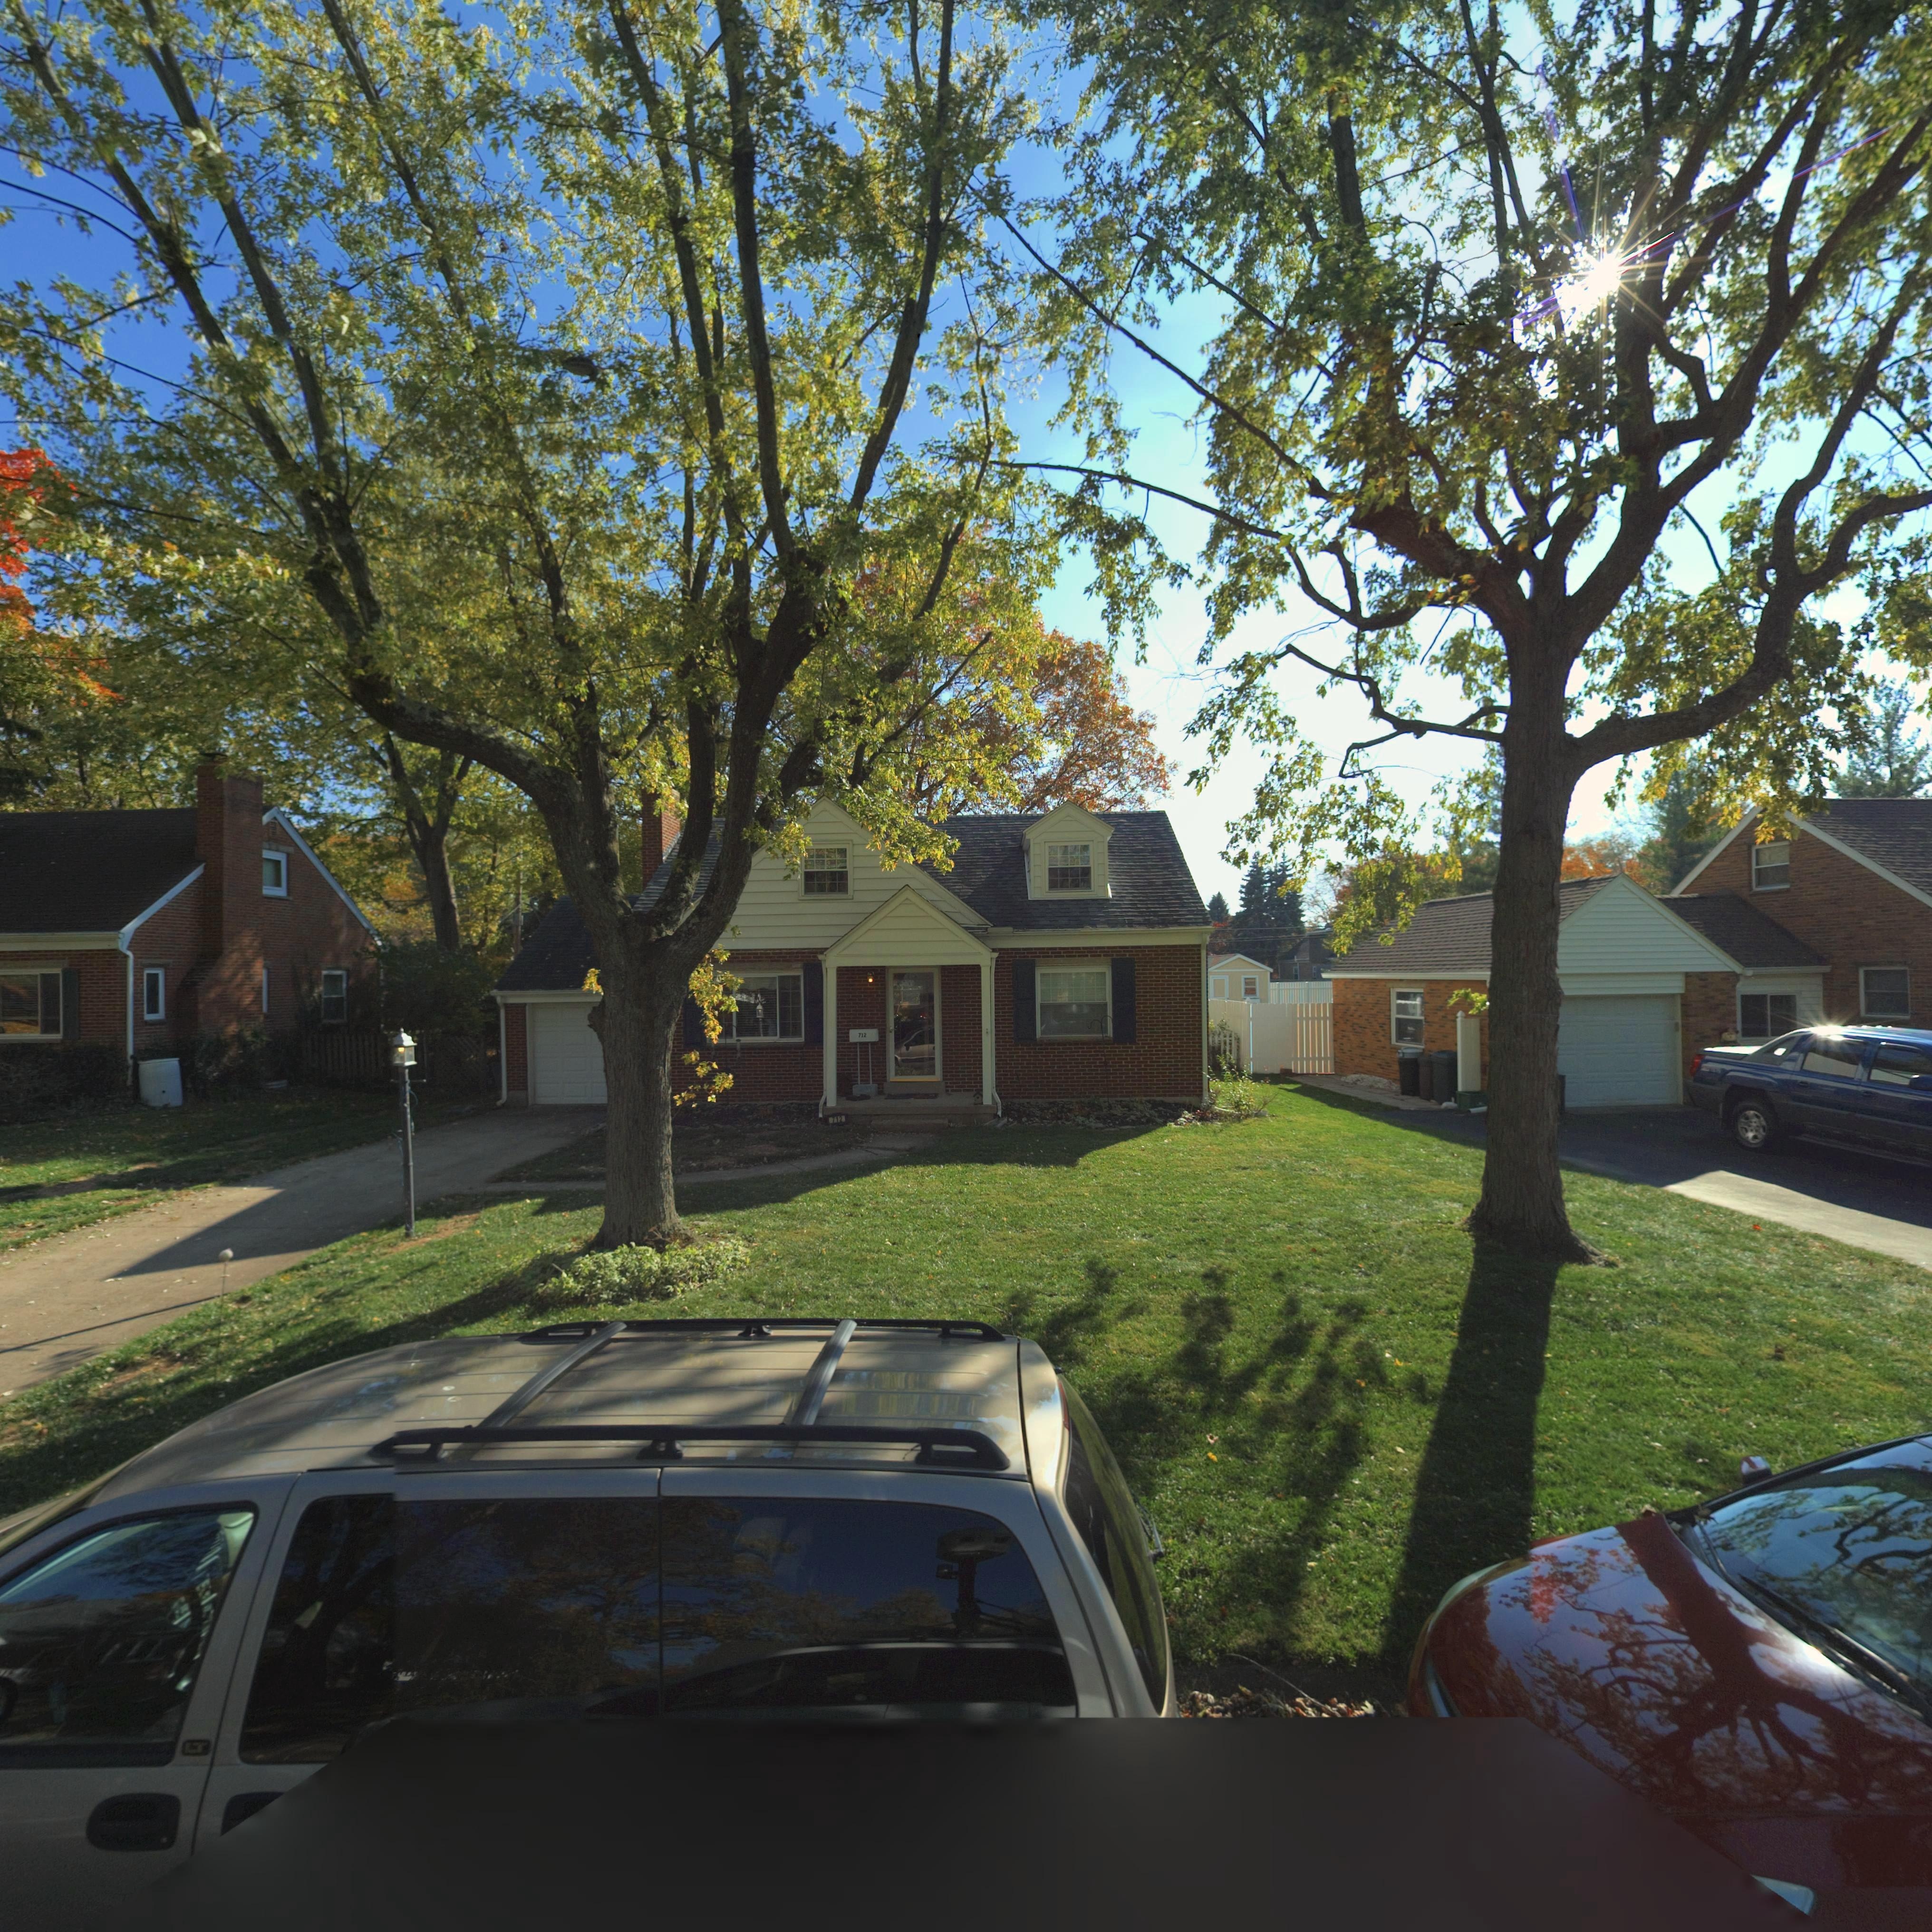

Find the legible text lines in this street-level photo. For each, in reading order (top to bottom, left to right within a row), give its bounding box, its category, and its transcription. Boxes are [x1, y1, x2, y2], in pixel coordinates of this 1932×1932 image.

[858, 1032, 868, 1039] StreetNumber: 712
[831, 1115, 843, 1124] StreetNumber: 712